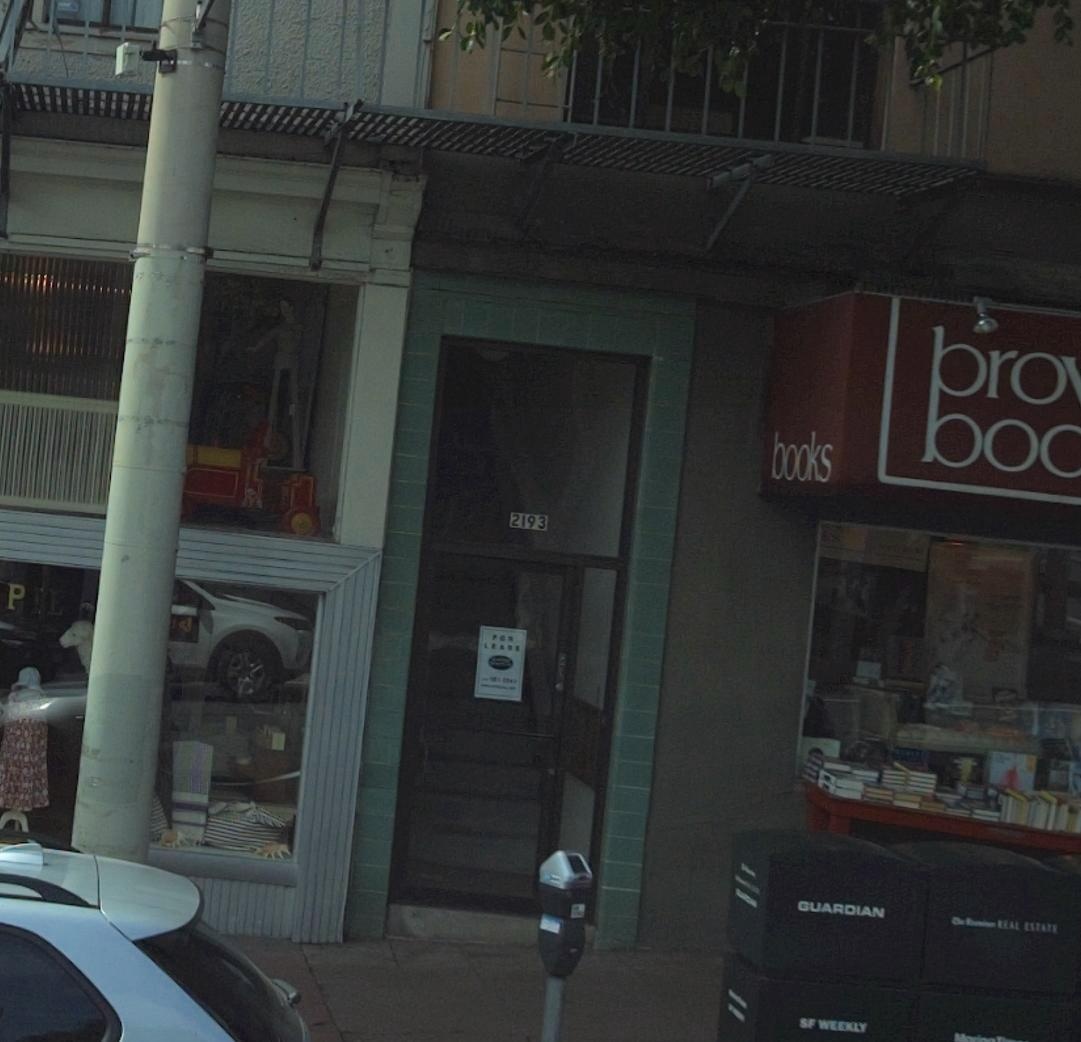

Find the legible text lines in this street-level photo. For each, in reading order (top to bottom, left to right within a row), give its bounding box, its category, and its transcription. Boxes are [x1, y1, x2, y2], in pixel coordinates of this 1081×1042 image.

[927, 322, 1073, 410] BusinessName: bro
[919, 392, 1043, 478] BusinessName: bo
[768, 428, 836, 485] None: books
[508, 510, 549, 532] StreetNumber: 2193
[5, 581, 66, 618] BusinessName: P*L
[794, 896, 888, 922] None: GUARDIAN
[797, 1015, 871, 1036] None: SF WEEKLY